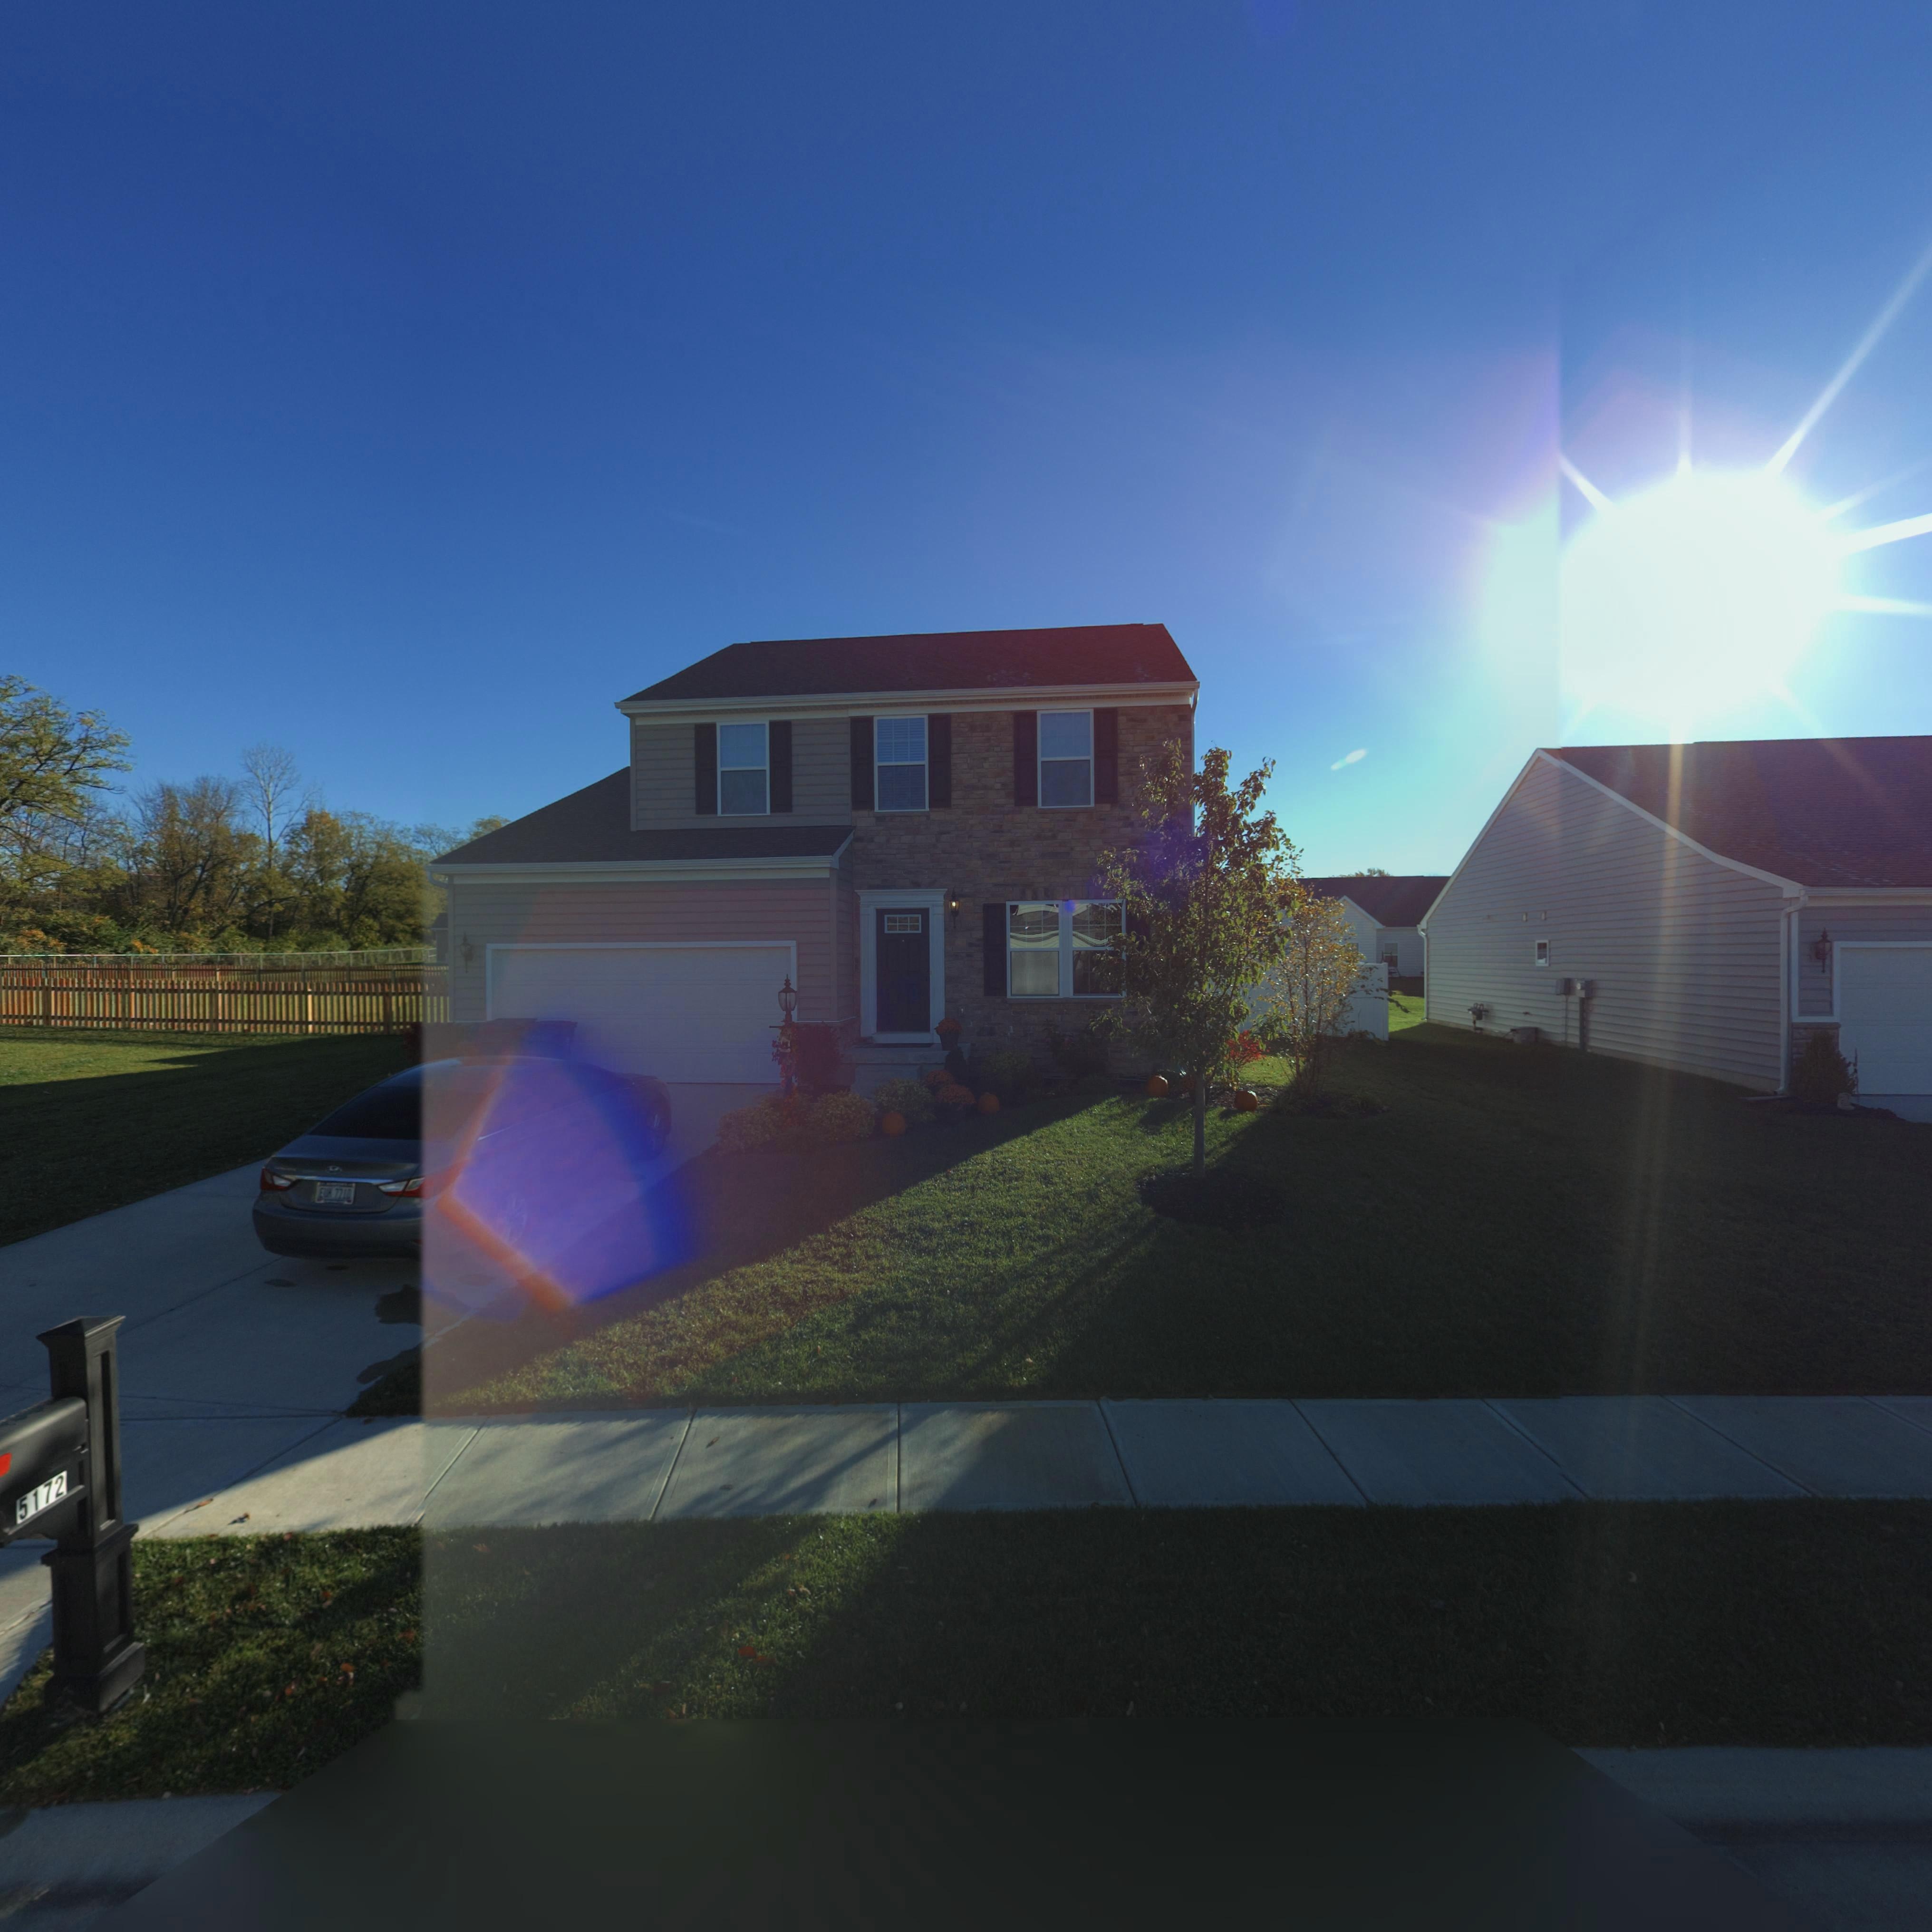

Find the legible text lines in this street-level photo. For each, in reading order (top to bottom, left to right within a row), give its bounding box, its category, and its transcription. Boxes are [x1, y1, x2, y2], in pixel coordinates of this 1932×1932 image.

[17, 1472, 66, 1524] StreetNumber: 5172